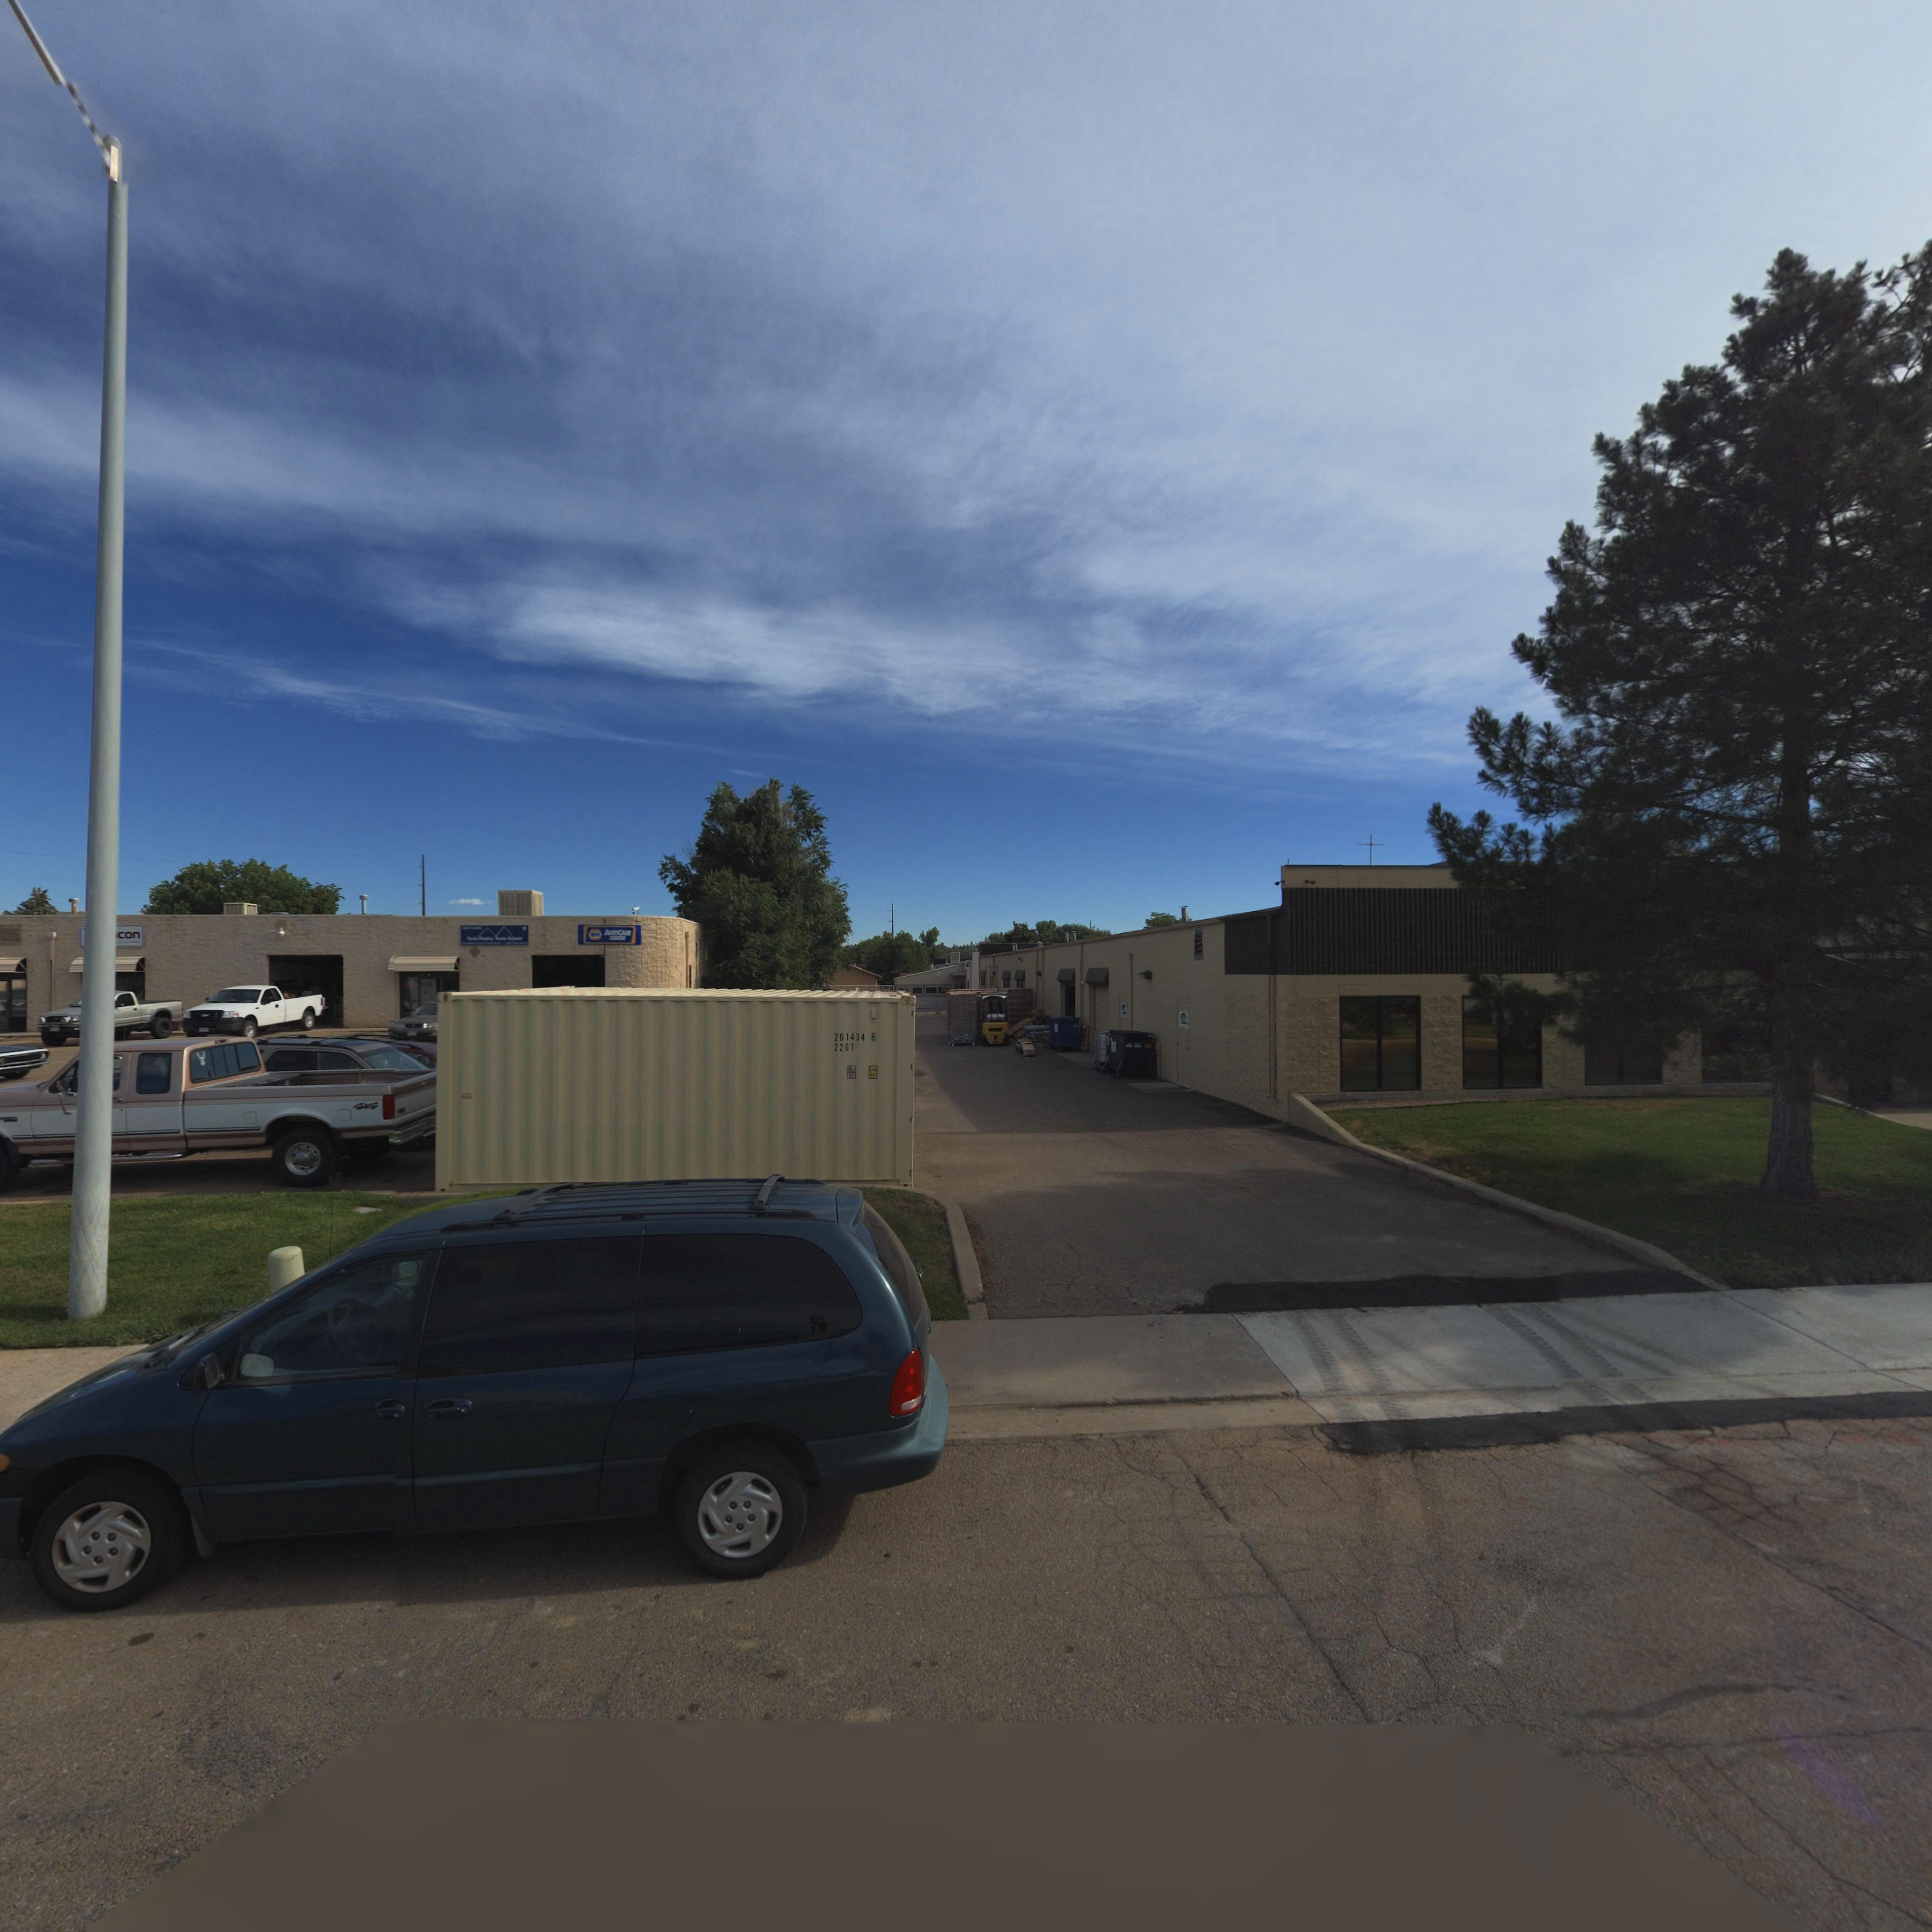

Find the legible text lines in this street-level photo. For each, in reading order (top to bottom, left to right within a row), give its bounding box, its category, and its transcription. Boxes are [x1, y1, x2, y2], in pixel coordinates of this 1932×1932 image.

[117, 931, 140, 938] BusinessName: con
[590, 932, 600, 937] BusinessName: *APA